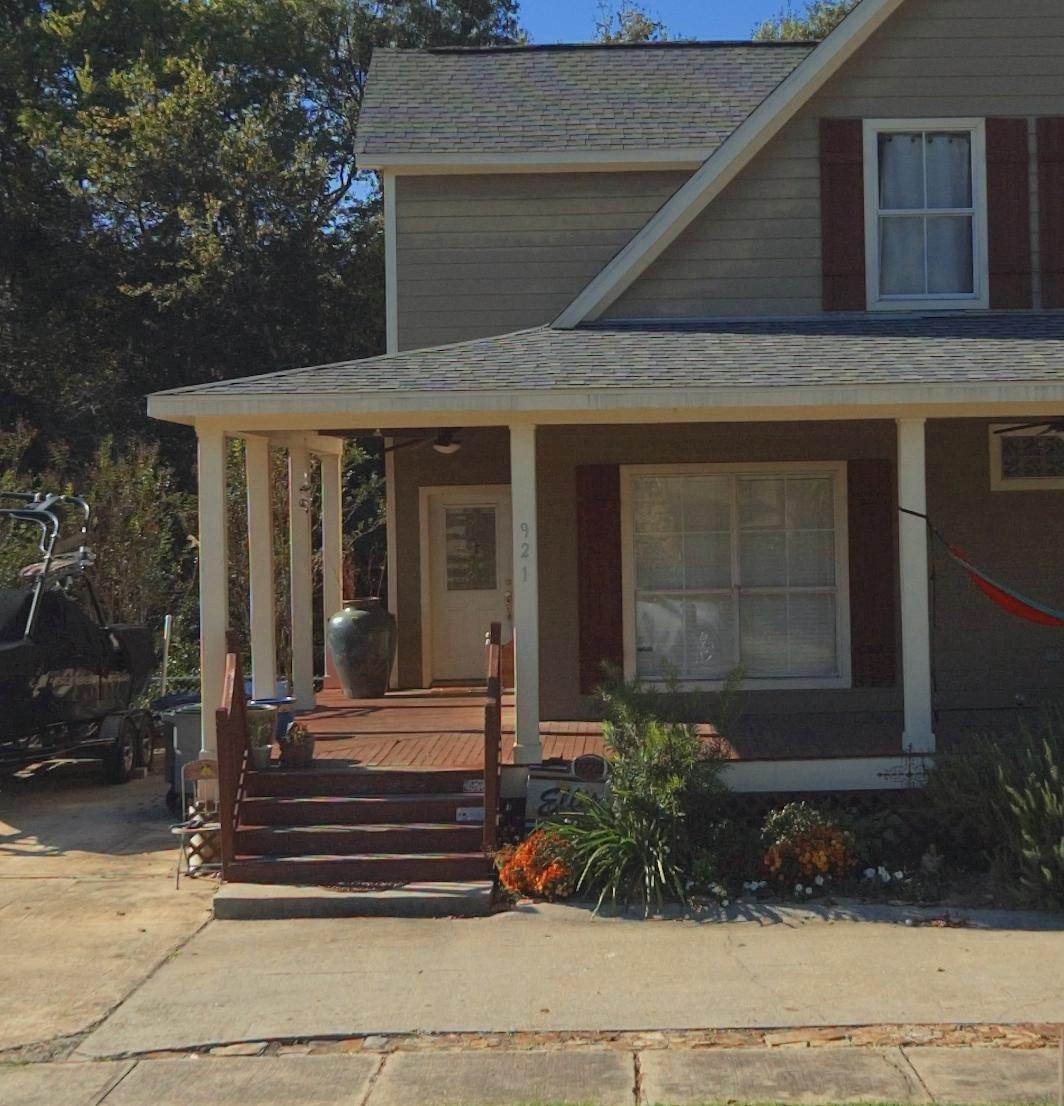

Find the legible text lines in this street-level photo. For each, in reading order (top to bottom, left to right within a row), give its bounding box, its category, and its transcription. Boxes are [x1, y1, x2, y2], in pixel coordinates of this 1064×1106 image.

[518, 520, 532, 585] StreetNumber: 921
[534, 784, 564, 818] None: E